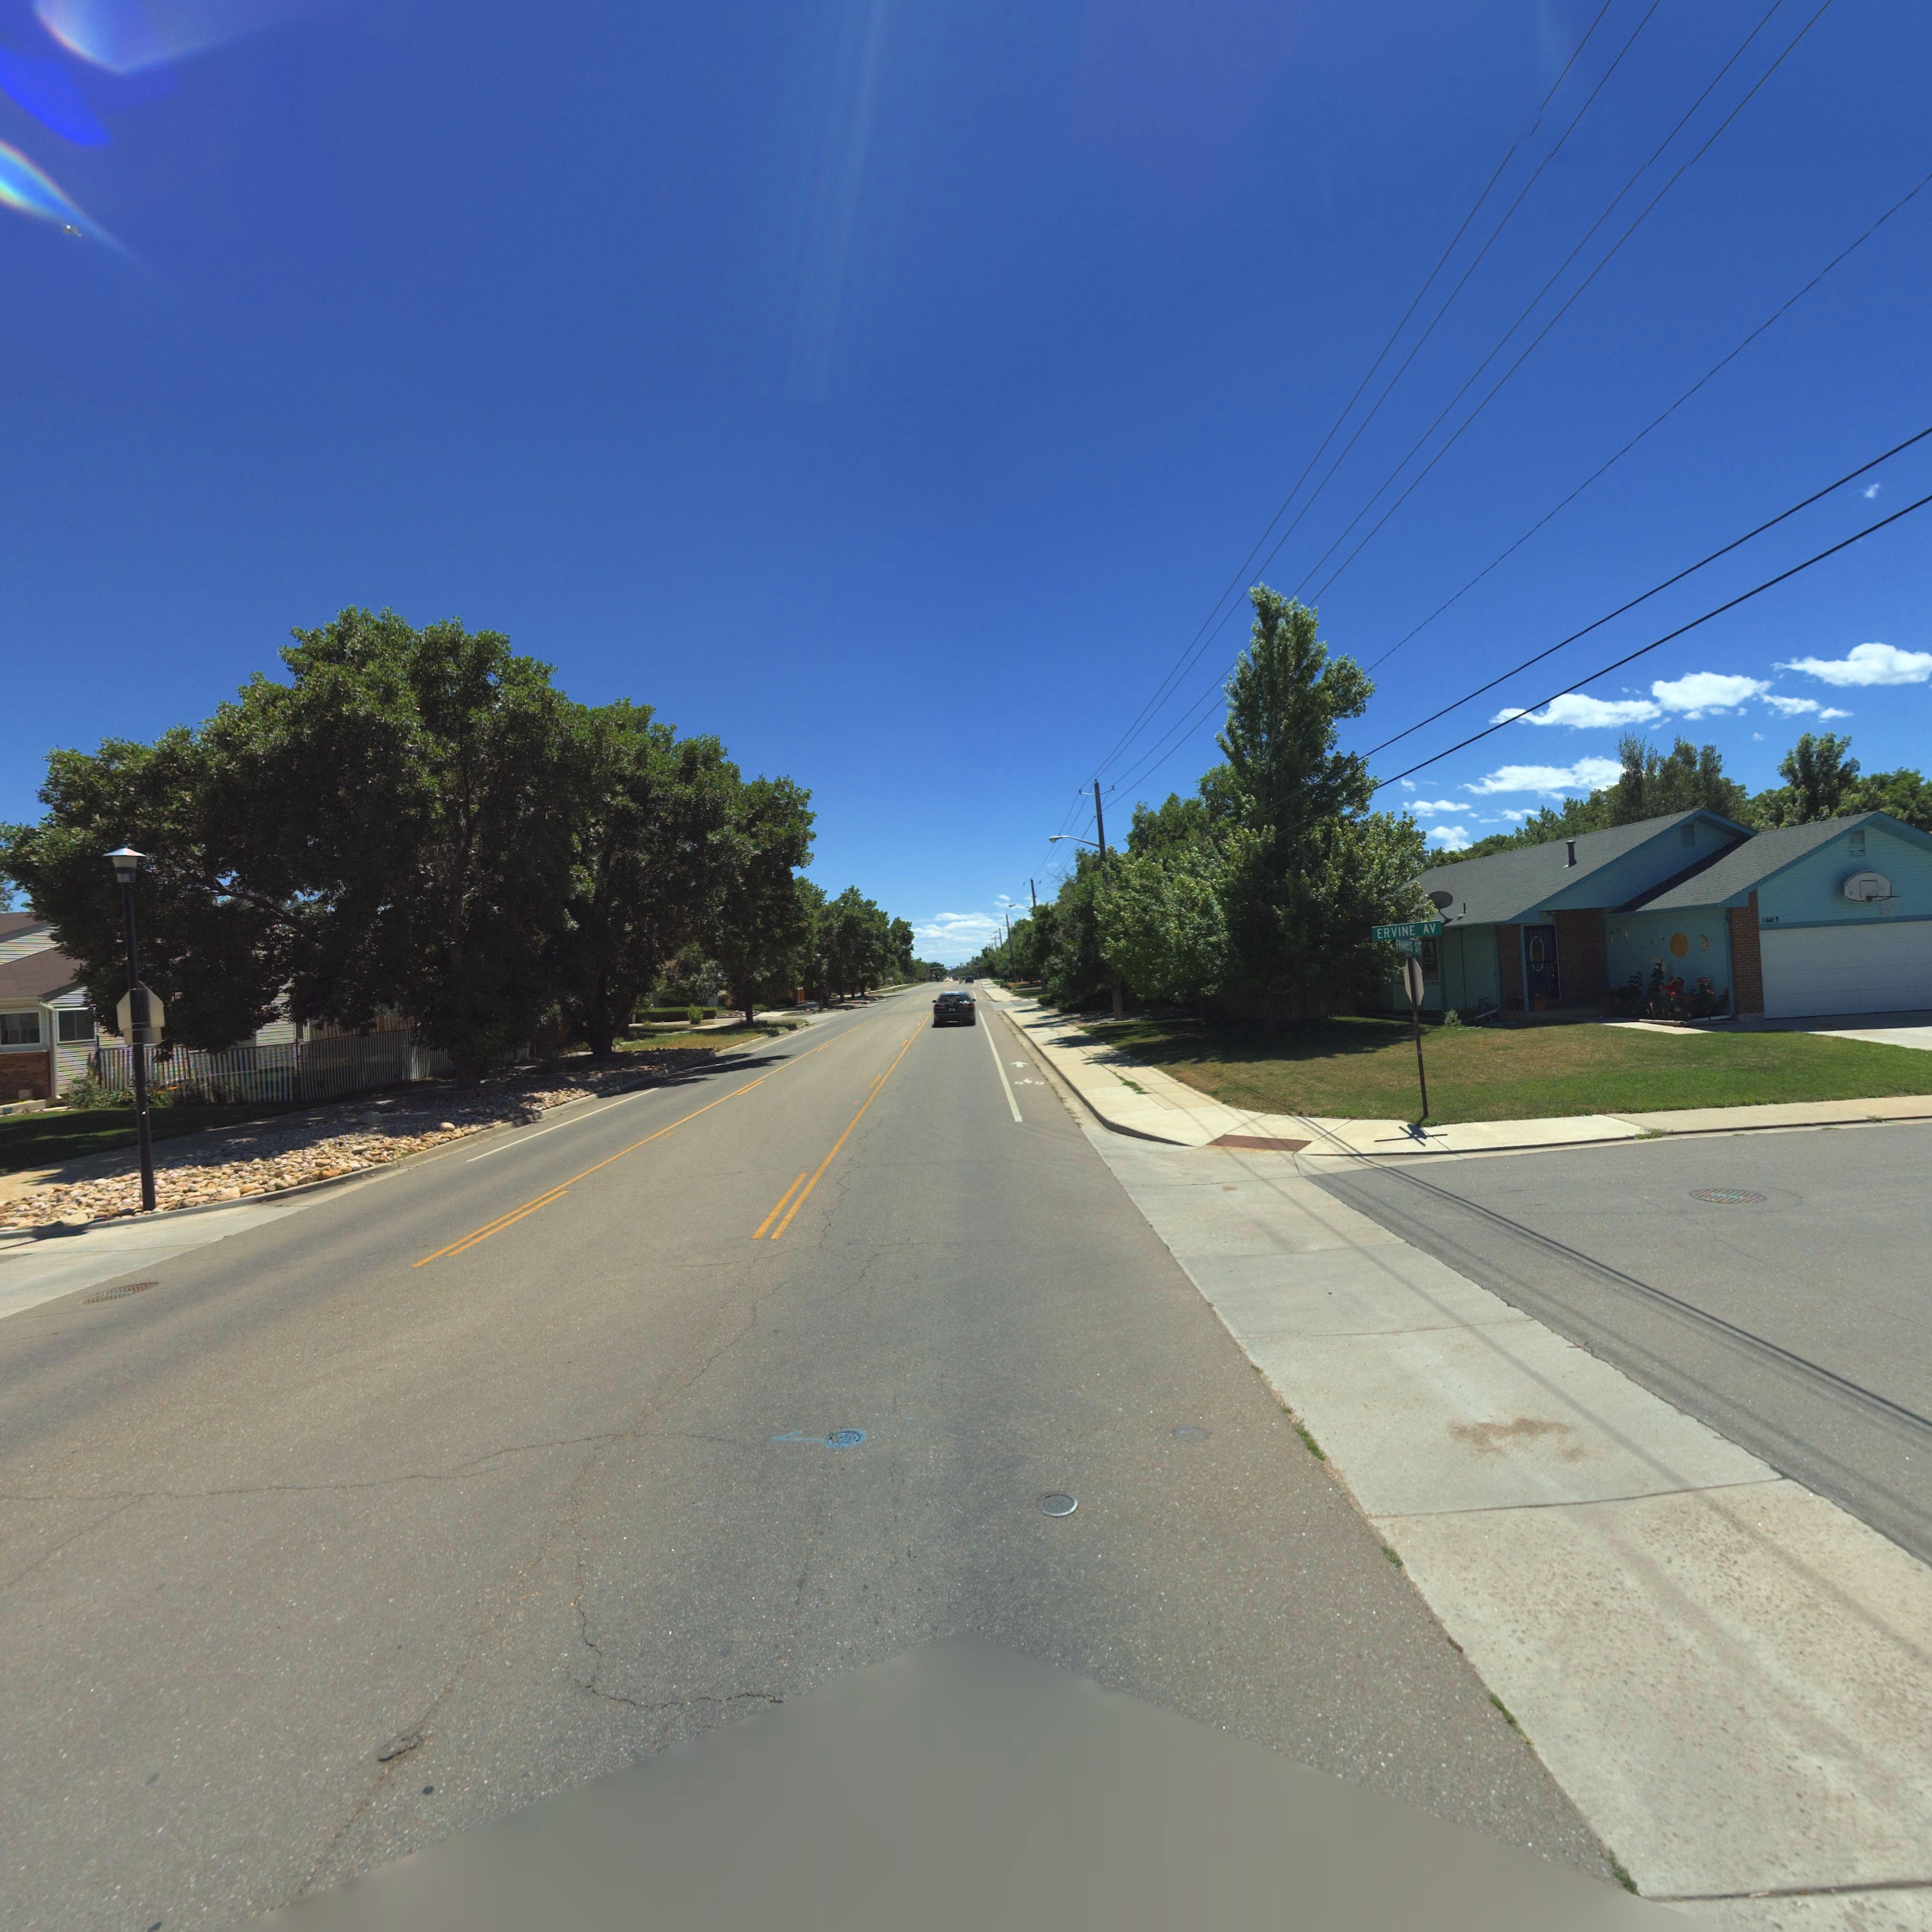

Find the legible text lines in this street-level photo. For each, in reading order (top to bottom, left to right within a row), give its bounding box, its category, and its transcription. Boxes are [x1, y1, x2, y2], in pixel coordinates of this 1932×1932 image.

[1761, 916, 1779, 923] StreetNumber: 1603
[1376, 922, 1436, 939] StreetName: ERVINE AV
[1395, 939, 1420, 953] StreetName: FRANCIS ST